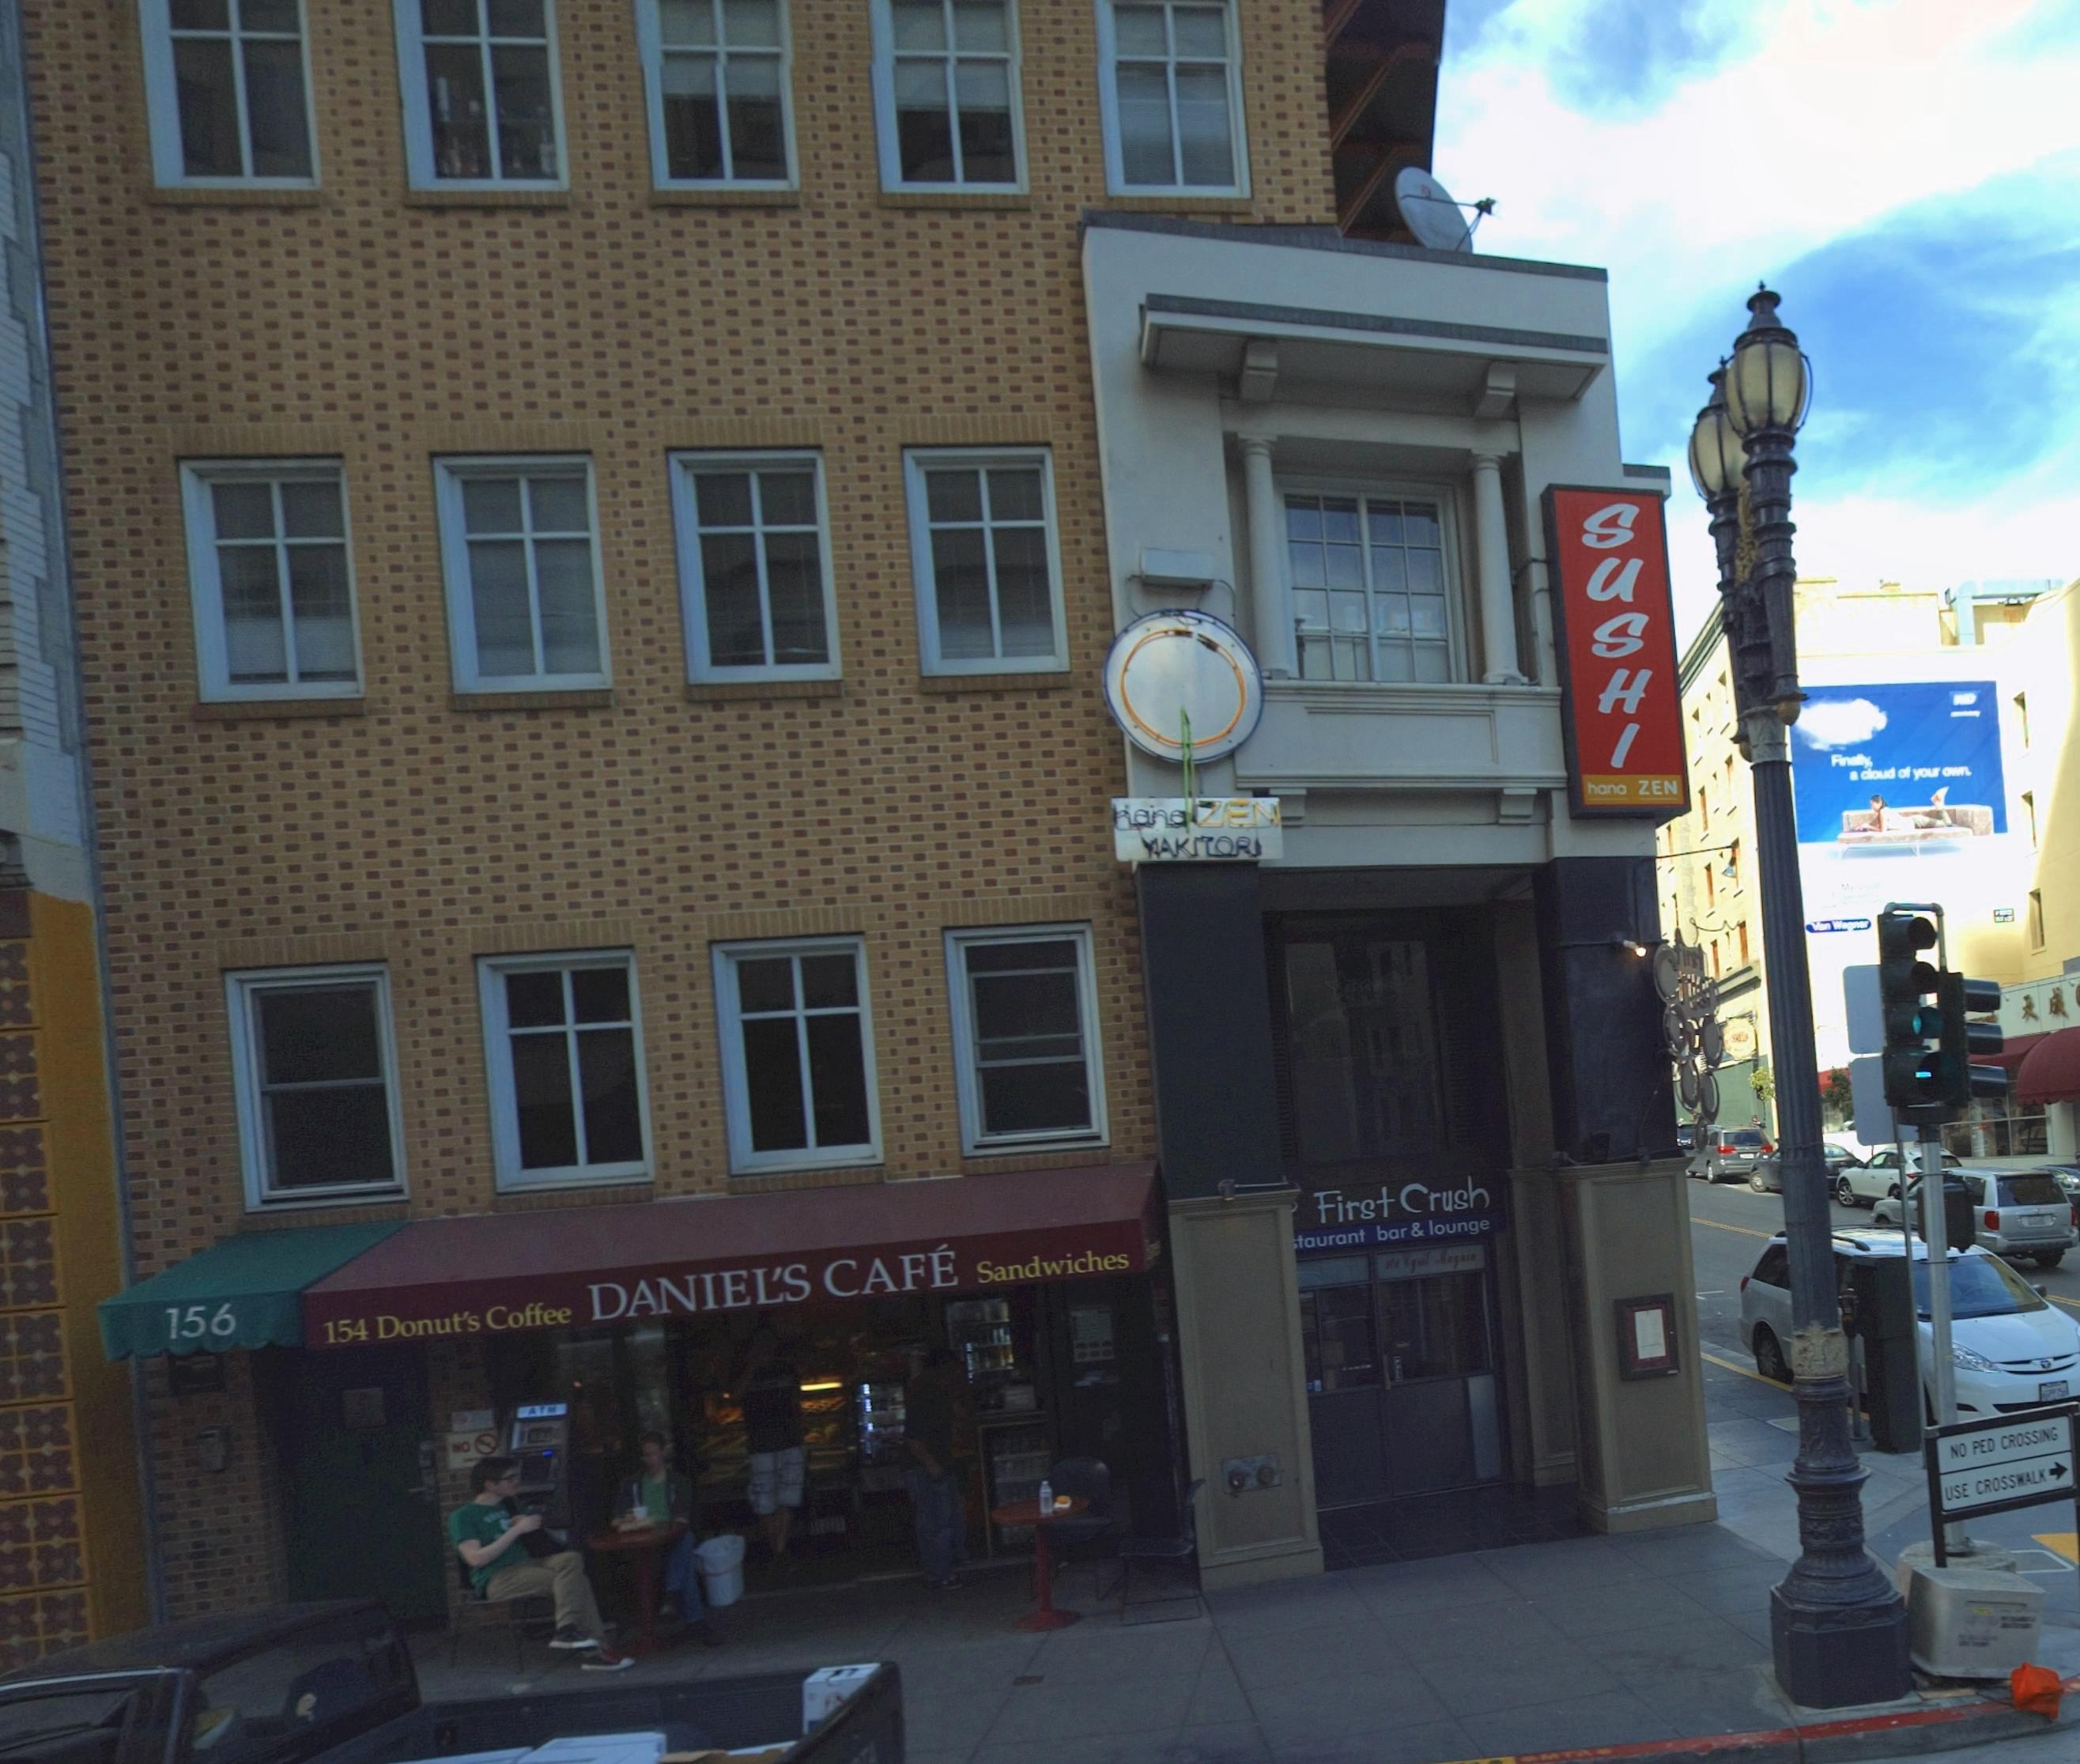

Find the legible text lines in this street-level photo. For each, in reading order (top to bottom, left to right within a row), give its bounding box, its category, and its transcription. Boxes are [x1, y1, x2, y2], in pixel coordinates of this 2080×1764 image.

[1573, 493, 1659, 776] None: SUSHI
[1584, 776, 1682, 798] BusinessName: hana ZEN
[1829, 751, 1873, 771] None: Finally
[1847, 763, 1974, 784] None: a cloud of your own.
[1109, 795, 1283, 830] BusinessName: hana ZEN
[1135, 833, 1261, 862] None: YAKITOR
[1808, 918, 1870, 935] None: Van Wagner
[1310, 1170, 1493, 1228] BusinessName: First Crush
[1294, 1217, 1493, 1252] None: taurant bar & lounge
[580, 1245, 965, 1328] BusinessName: DANIEL'S CAFE
[973, 1247, 1133, 1287] None: Sandwiches
[161, 1298, 240, 1345] StreetNumber: 156
[319, 1314, 372, 1347] StreetNumber: 154
[372, 1298, 577, 1343] None: Donut's Coffee
[1947, 1423, 2062, 1463] None: NO PED CROSSING
[1942, 1464, 2050, 1505] None: USE CROSSWALK